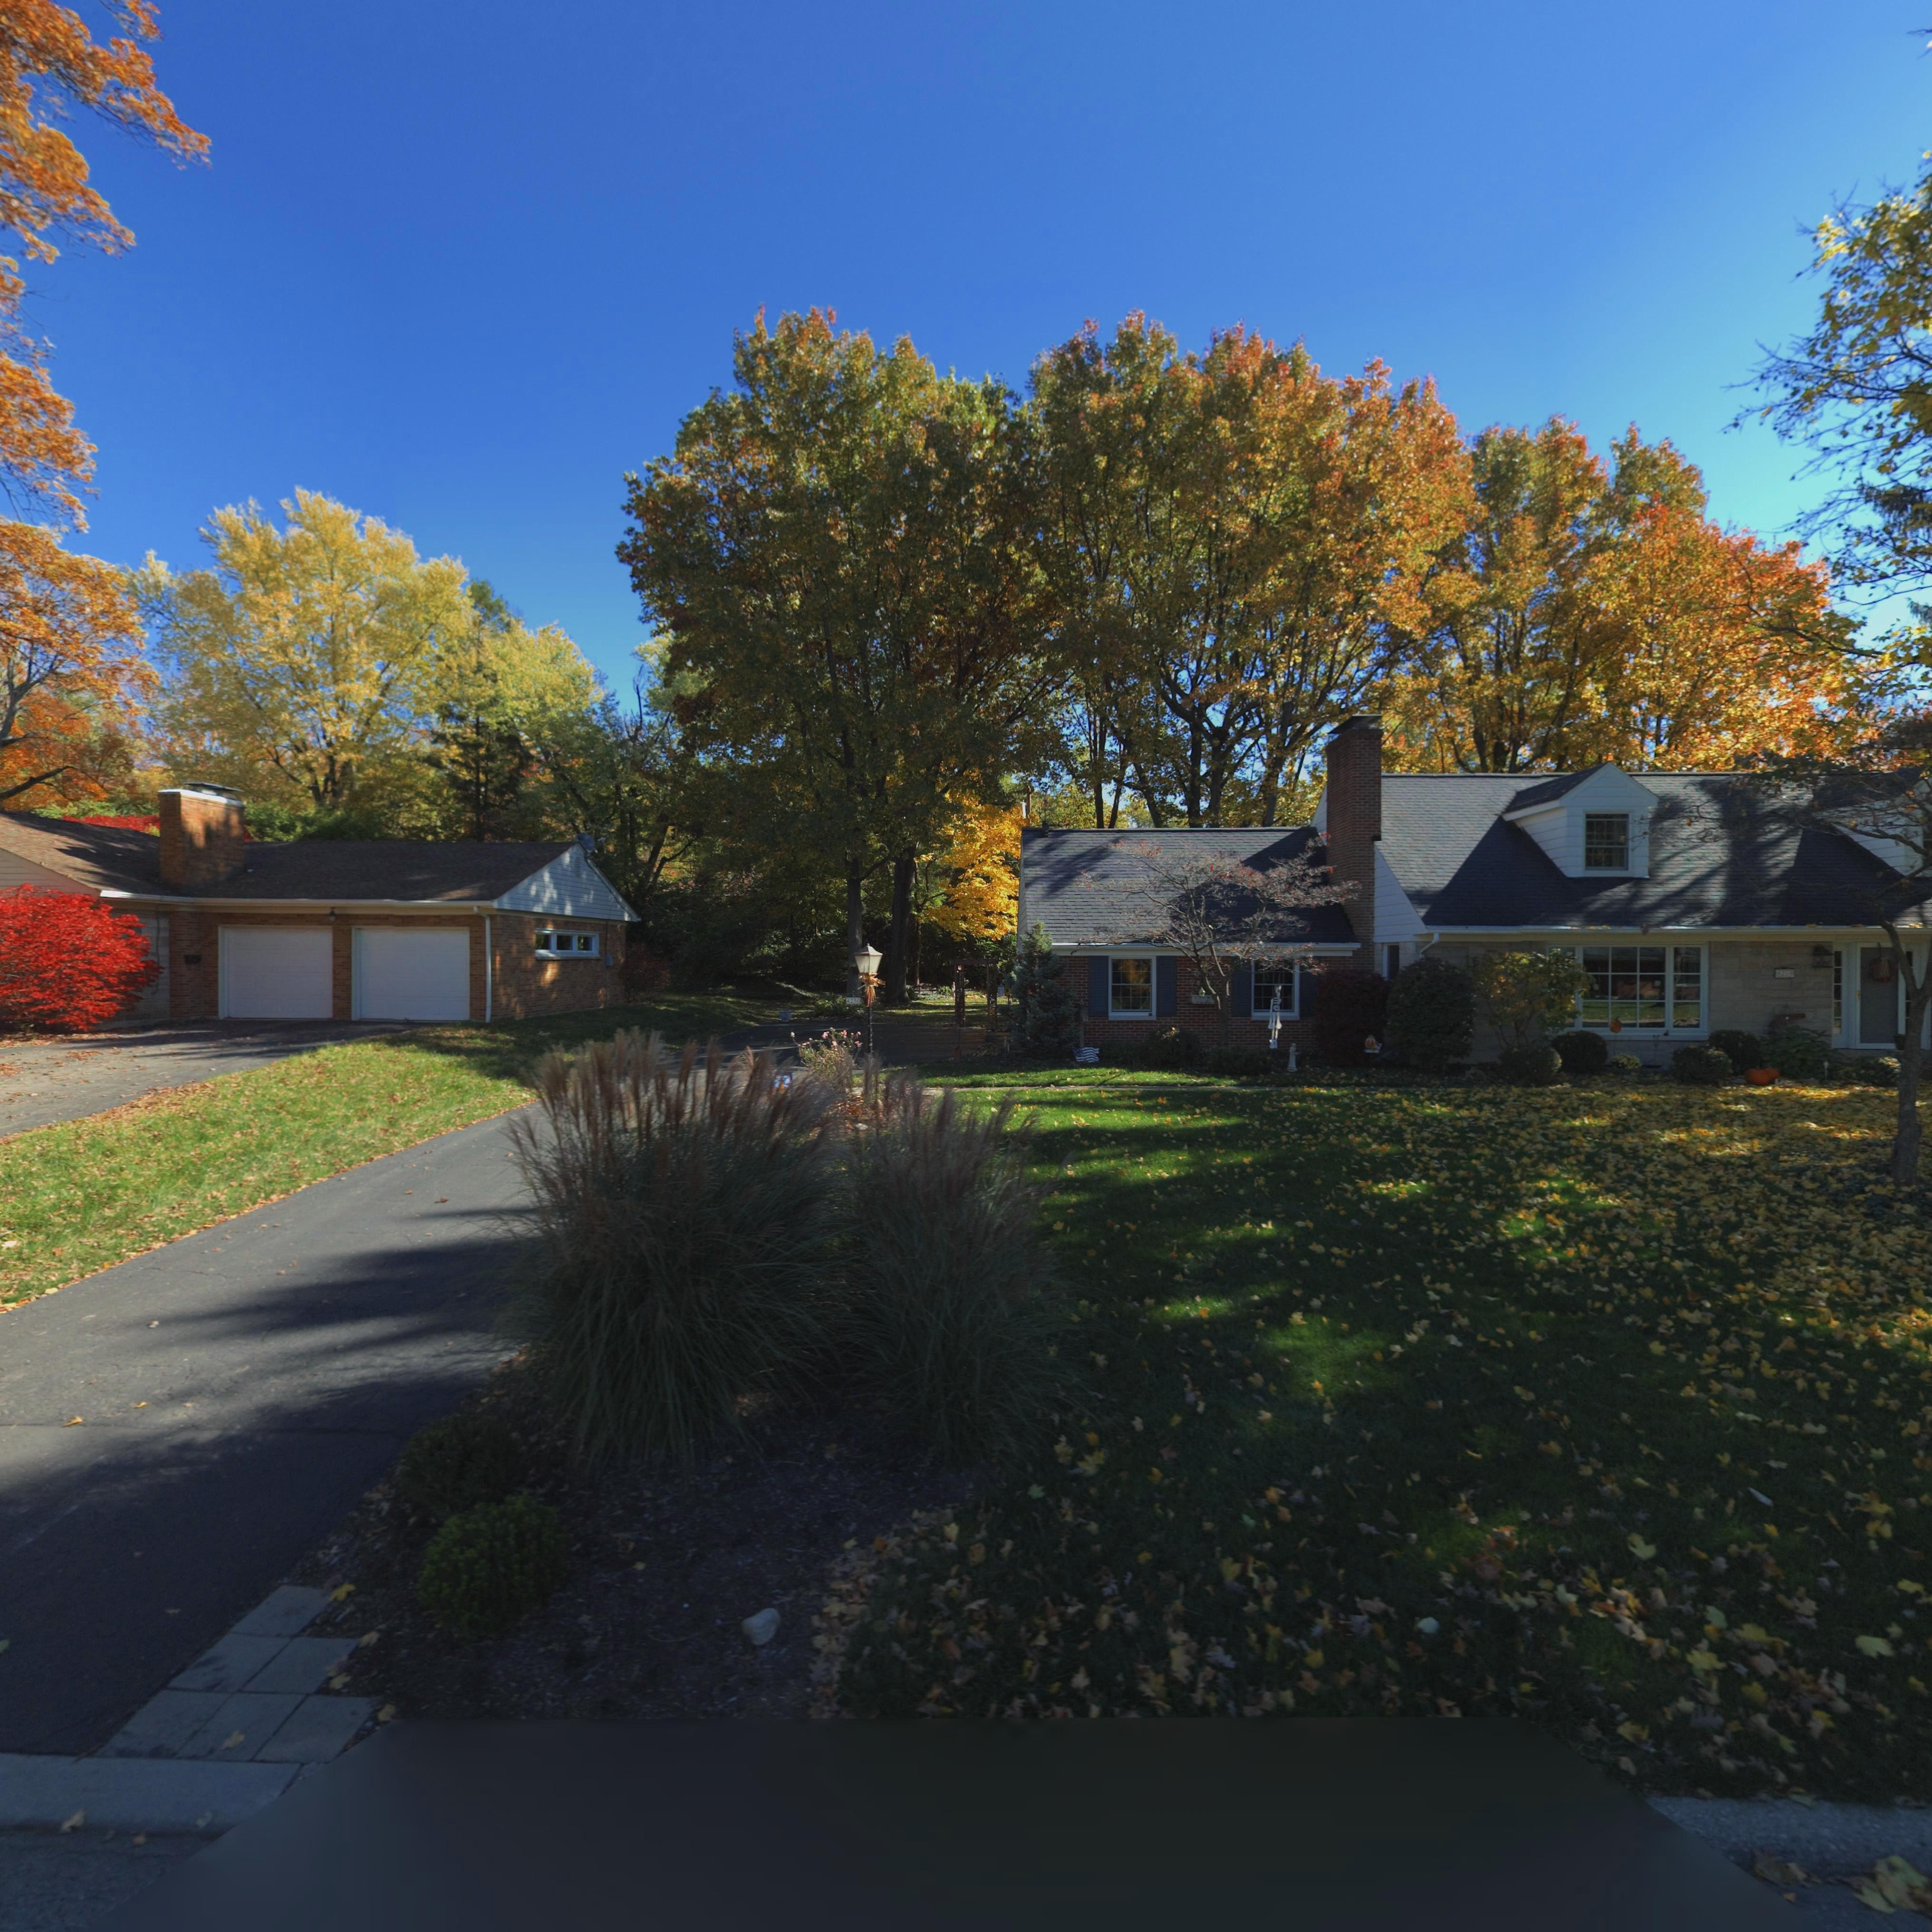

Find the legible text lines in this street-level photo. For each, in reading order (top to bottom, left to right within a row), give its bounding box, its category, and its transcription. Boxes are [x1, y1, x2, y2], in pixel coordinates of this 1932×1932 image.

[1776, 970, 1794, 977] StreetNumber: 425*
[845, 998, 861, 1004] StreetNumber: 4250